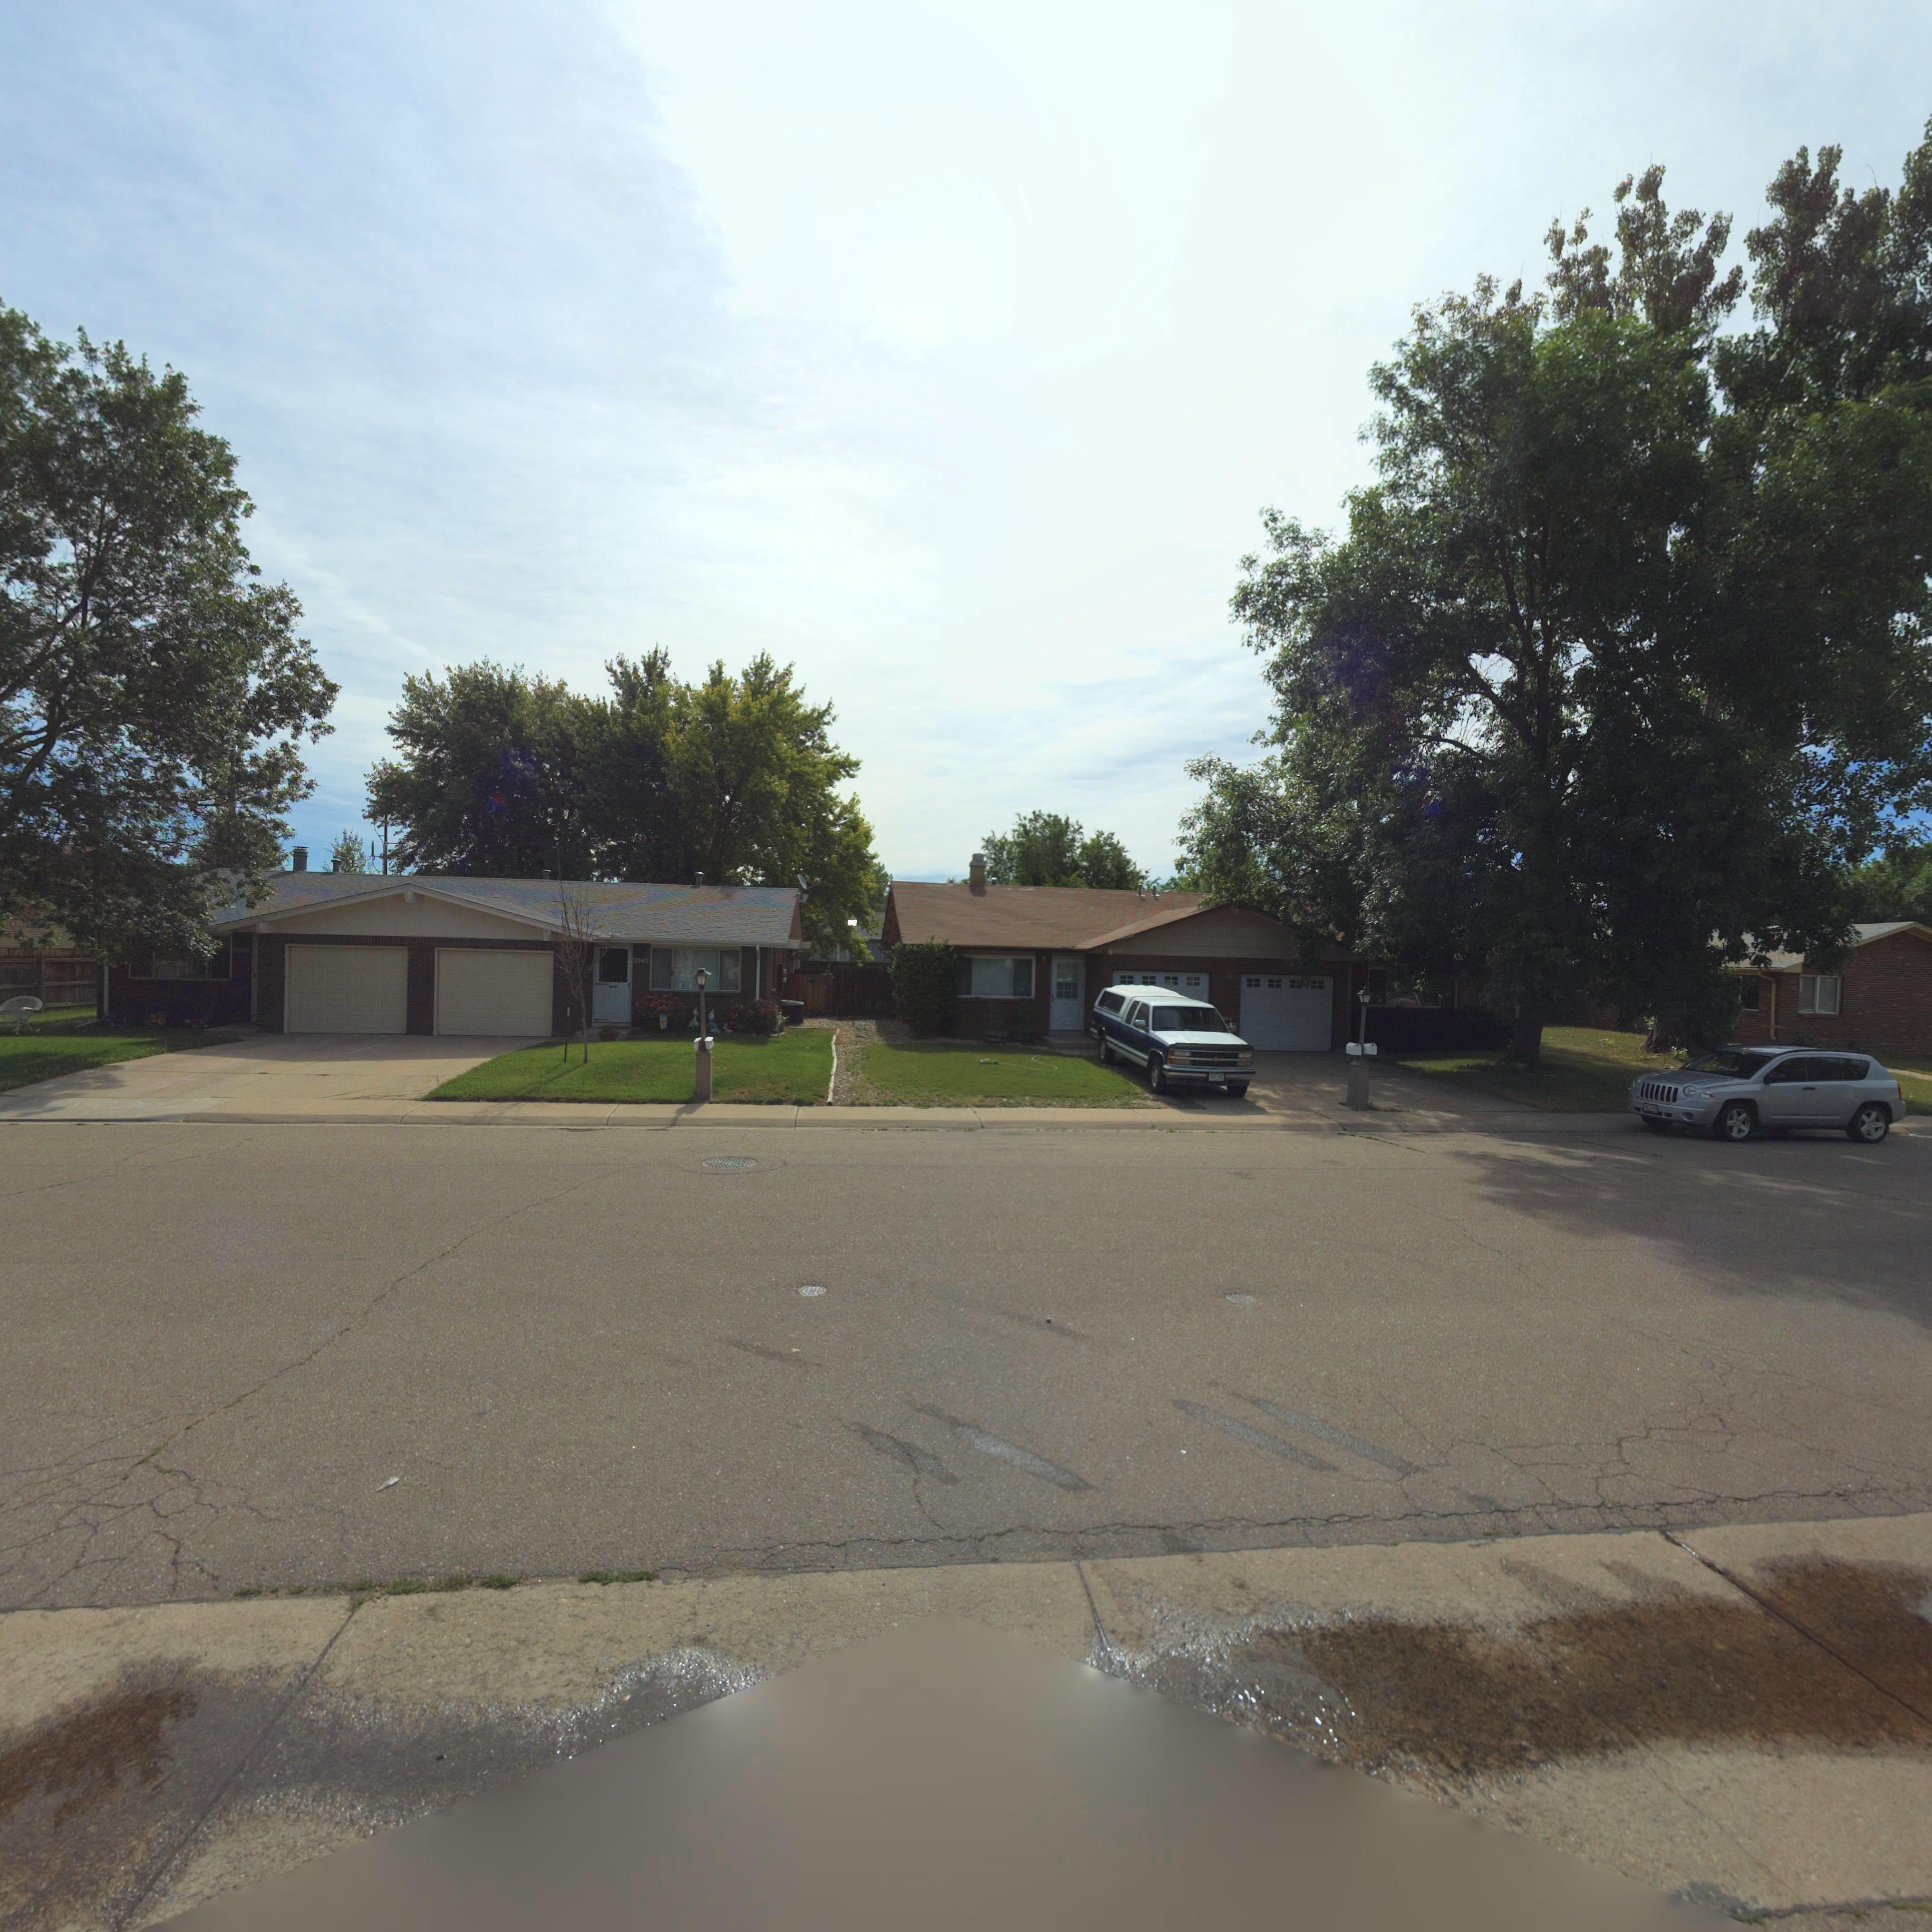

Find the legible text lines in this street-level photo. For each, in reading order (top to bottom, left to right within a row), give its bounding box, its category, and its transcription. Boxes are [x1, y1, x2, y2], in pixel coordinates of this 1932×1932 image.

[233, 947, 249, 953] StreetNumber: 204*
[633, 957, 648, 963] StreetNumber: 2042